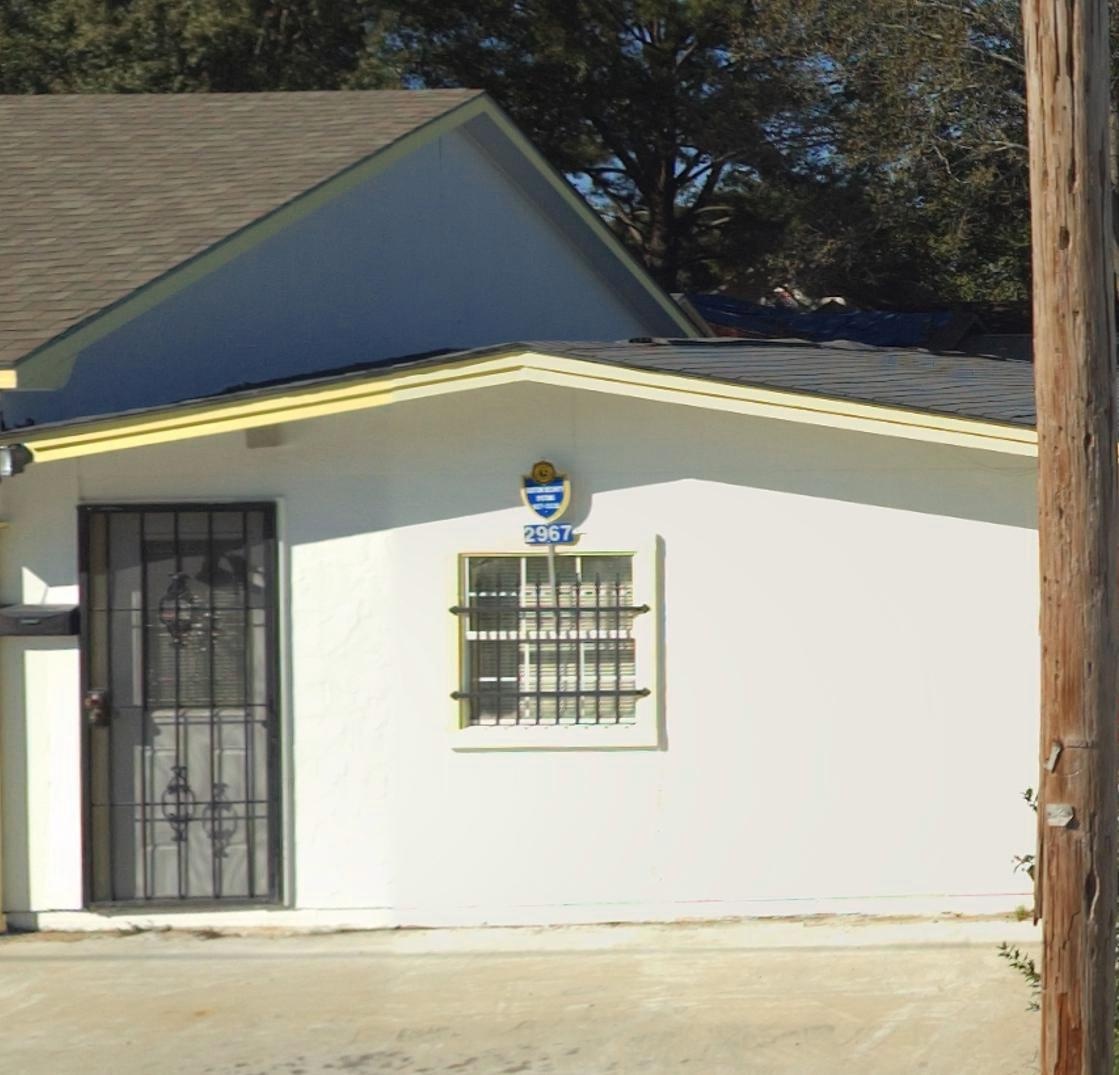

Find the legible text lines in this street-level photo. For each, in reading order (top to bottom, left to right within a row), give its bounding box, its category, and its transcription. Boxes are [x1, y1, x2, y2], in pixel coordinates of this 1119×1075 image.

[522, 523, 575, 544] StreetNumber: 2967